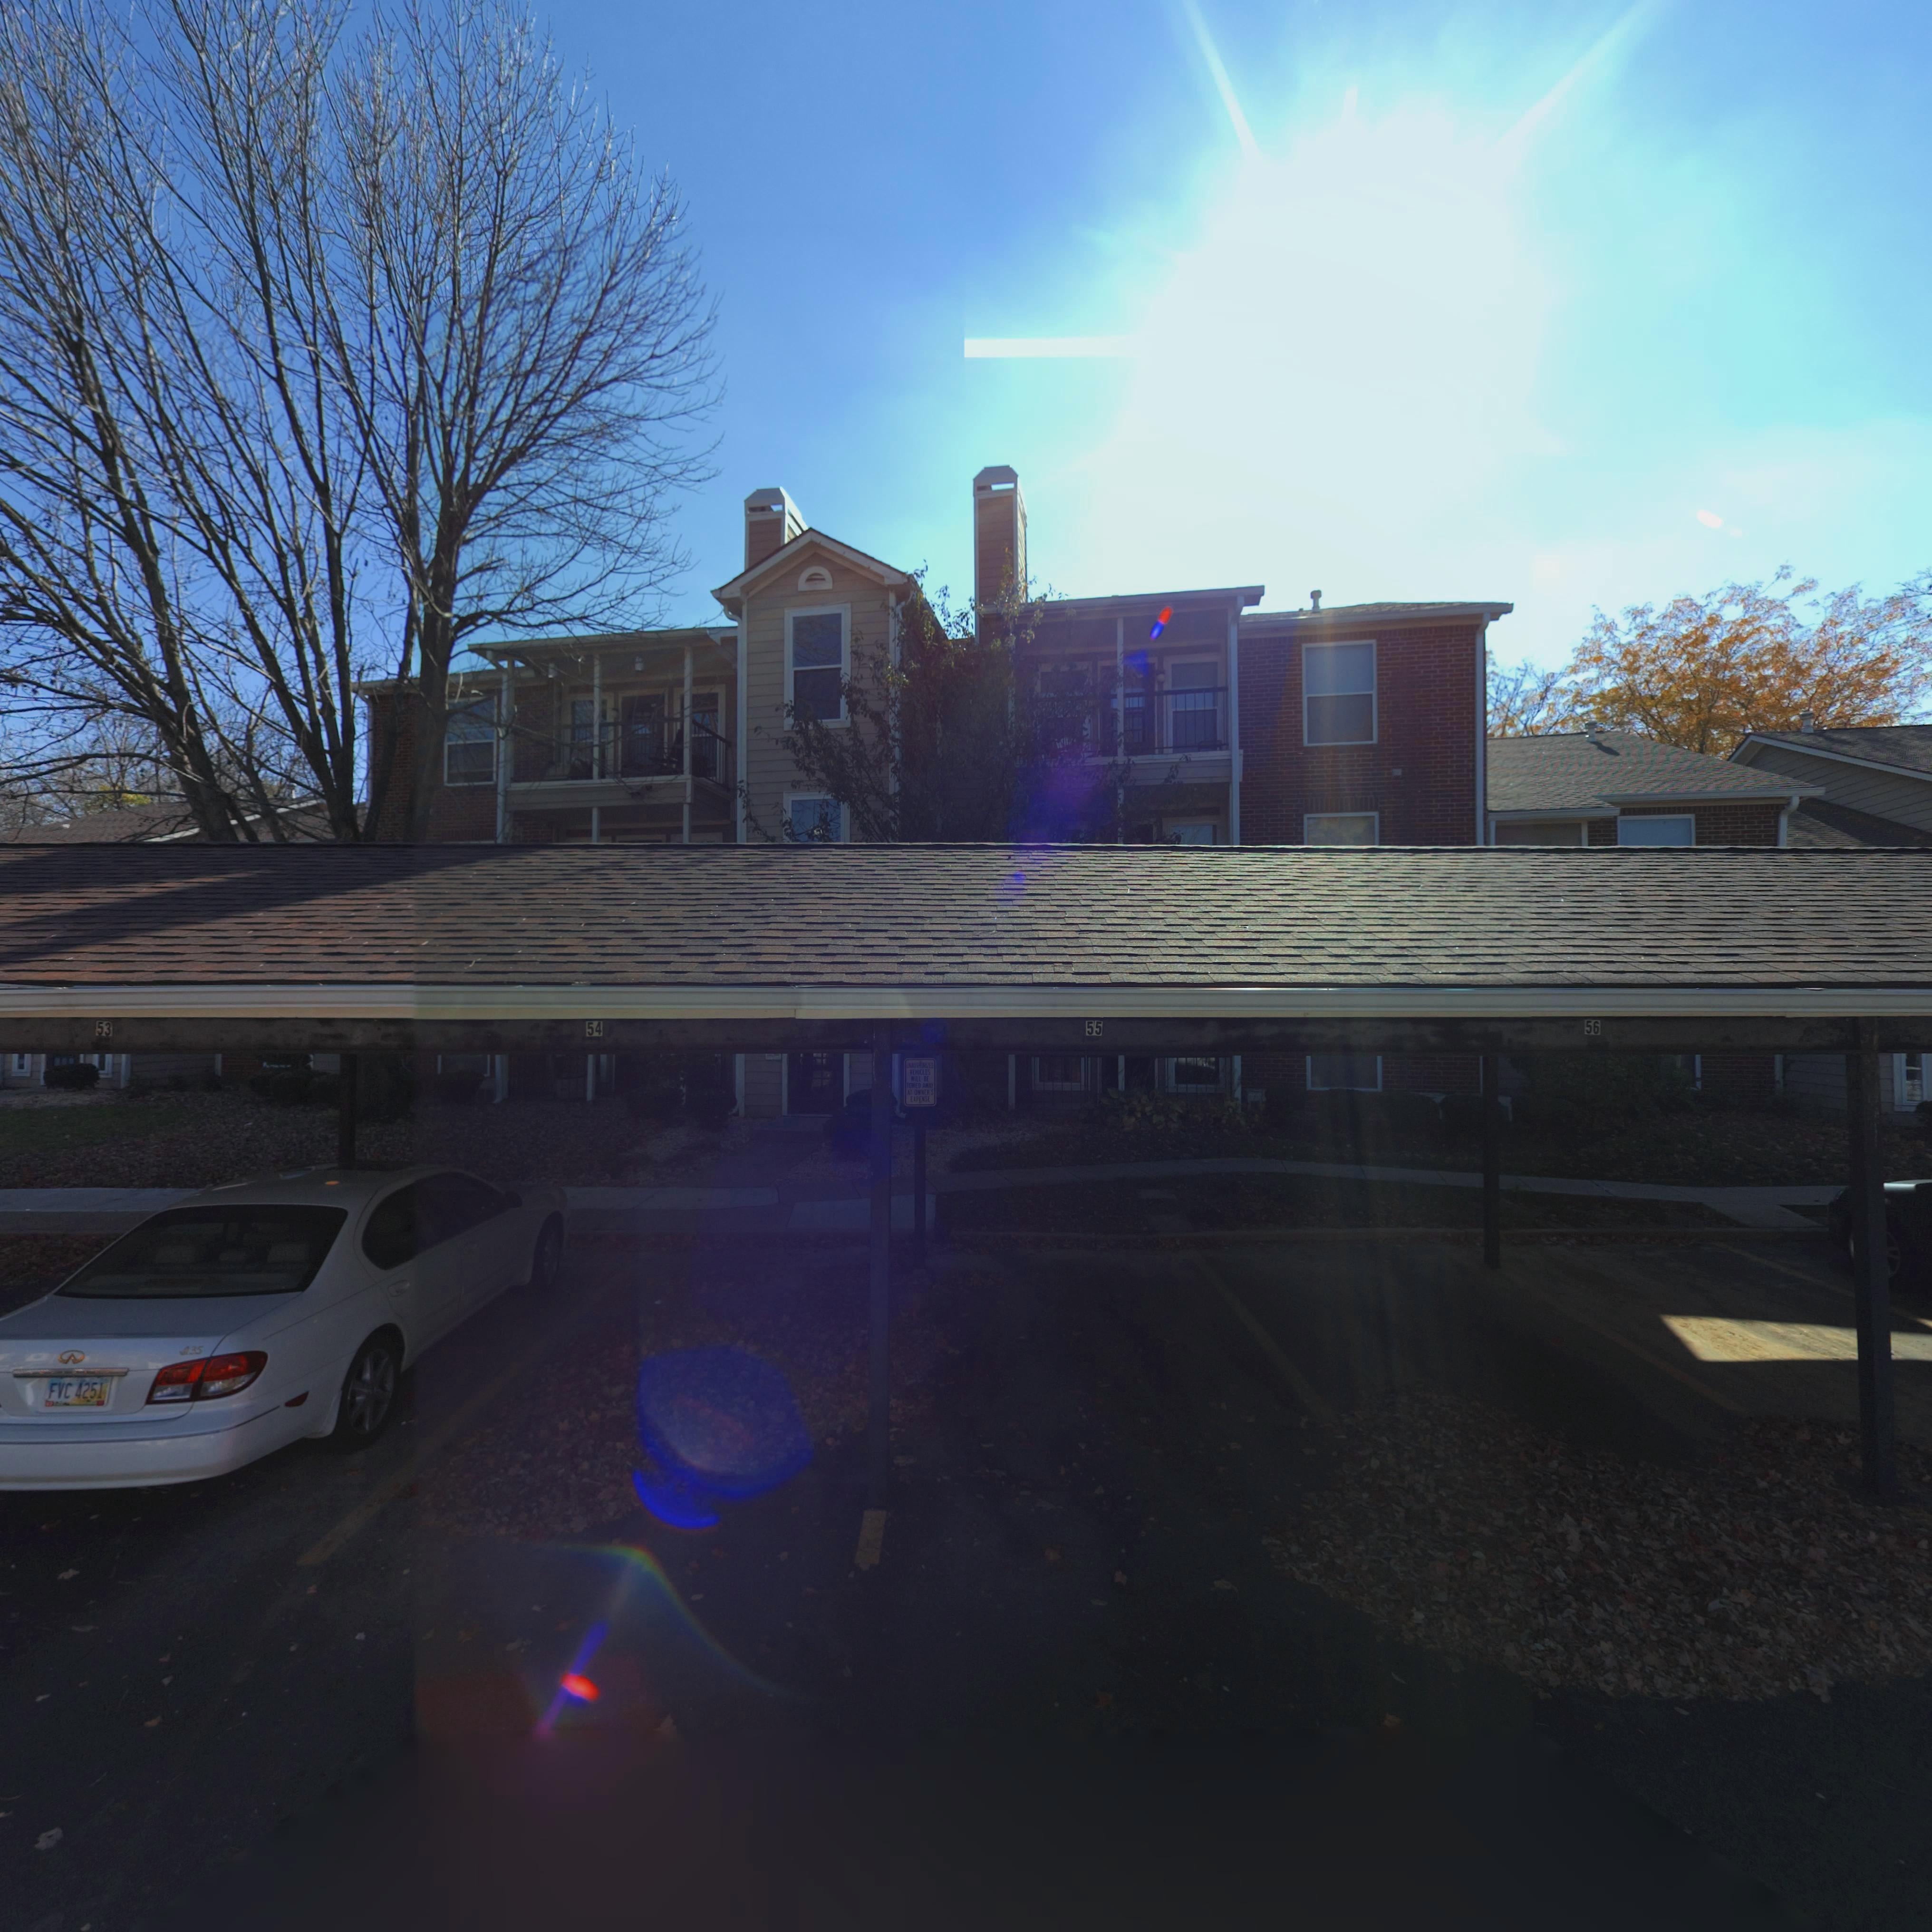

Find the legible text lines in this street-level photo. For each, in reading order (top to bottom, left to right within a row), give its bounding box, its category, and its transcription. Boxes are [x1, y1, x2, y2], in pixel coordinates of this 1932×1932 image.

[96, 1020, 112, 1037] StreetNumber: 53
[586, 1020, 603, 1037] StreetNumber: 54
[1085, 1019, 1103, 1036] StreetNumber: 55
[1584, 1018, 1601, 1035] StreetNumber: 56
[908, 1068, 932, 1076] None: VEHICLES
[905, 1088, 935, 1096] None: AT OWNER'S
[910, 1075, 930, 1083] None: WILL BE
[905, 1081, 935, 1089] None: TOWED AWAY
[909, 1095, 932, 1103] None: EXPENSE
[45, 1380, 106, 1401] None: FVC 4251